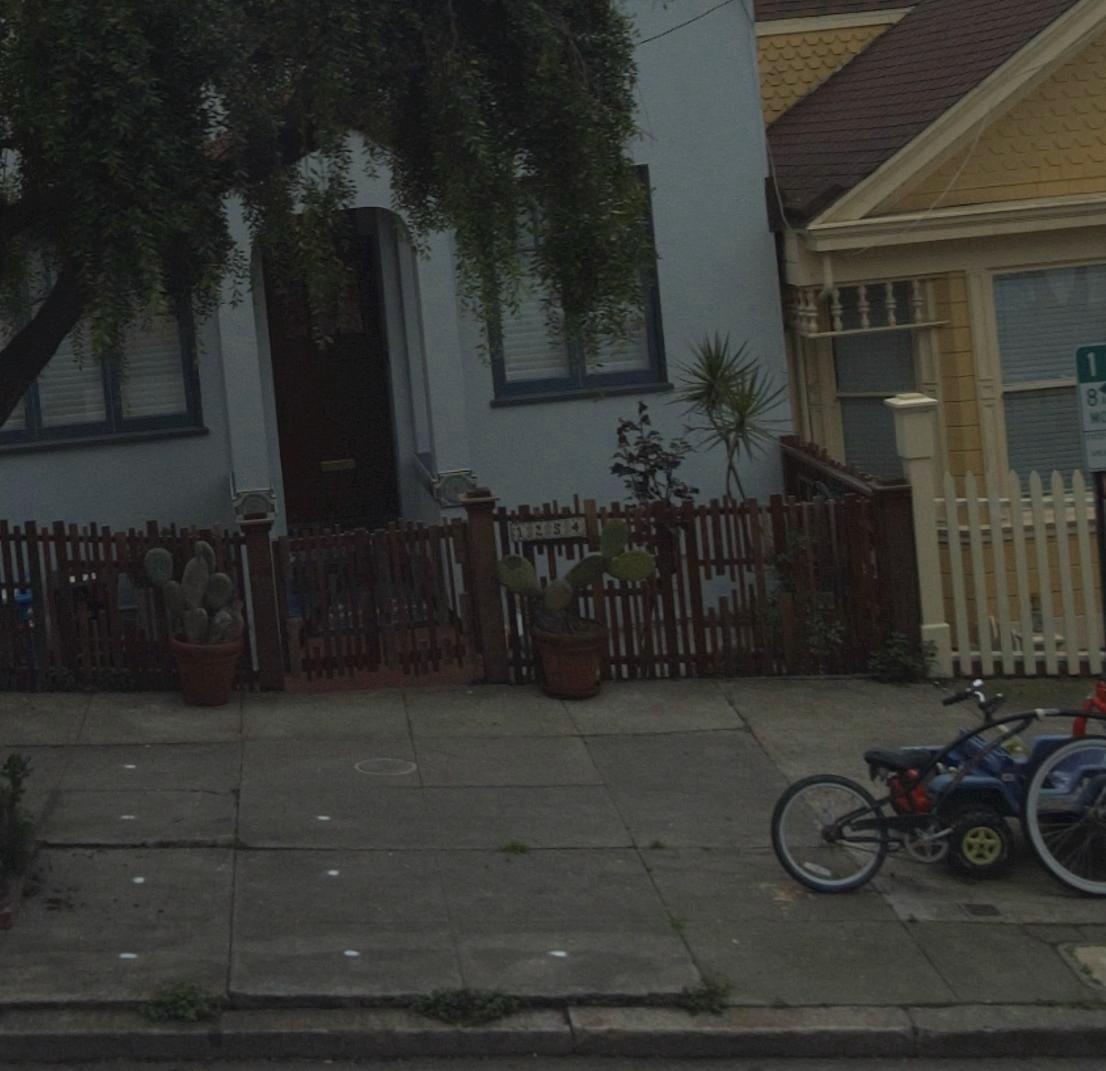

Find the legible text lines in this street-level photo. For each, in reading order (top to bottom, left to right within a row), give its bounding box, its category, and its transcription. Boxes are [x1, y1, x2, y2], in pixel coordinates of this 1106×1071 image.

[1084, 351, 1099, 377] None: 1
[1086, 387, 1099, 407] None: 8
[1090, 411, 1102, 424] None: M
[515, 520, 580, 539] StreetNumber: 1254